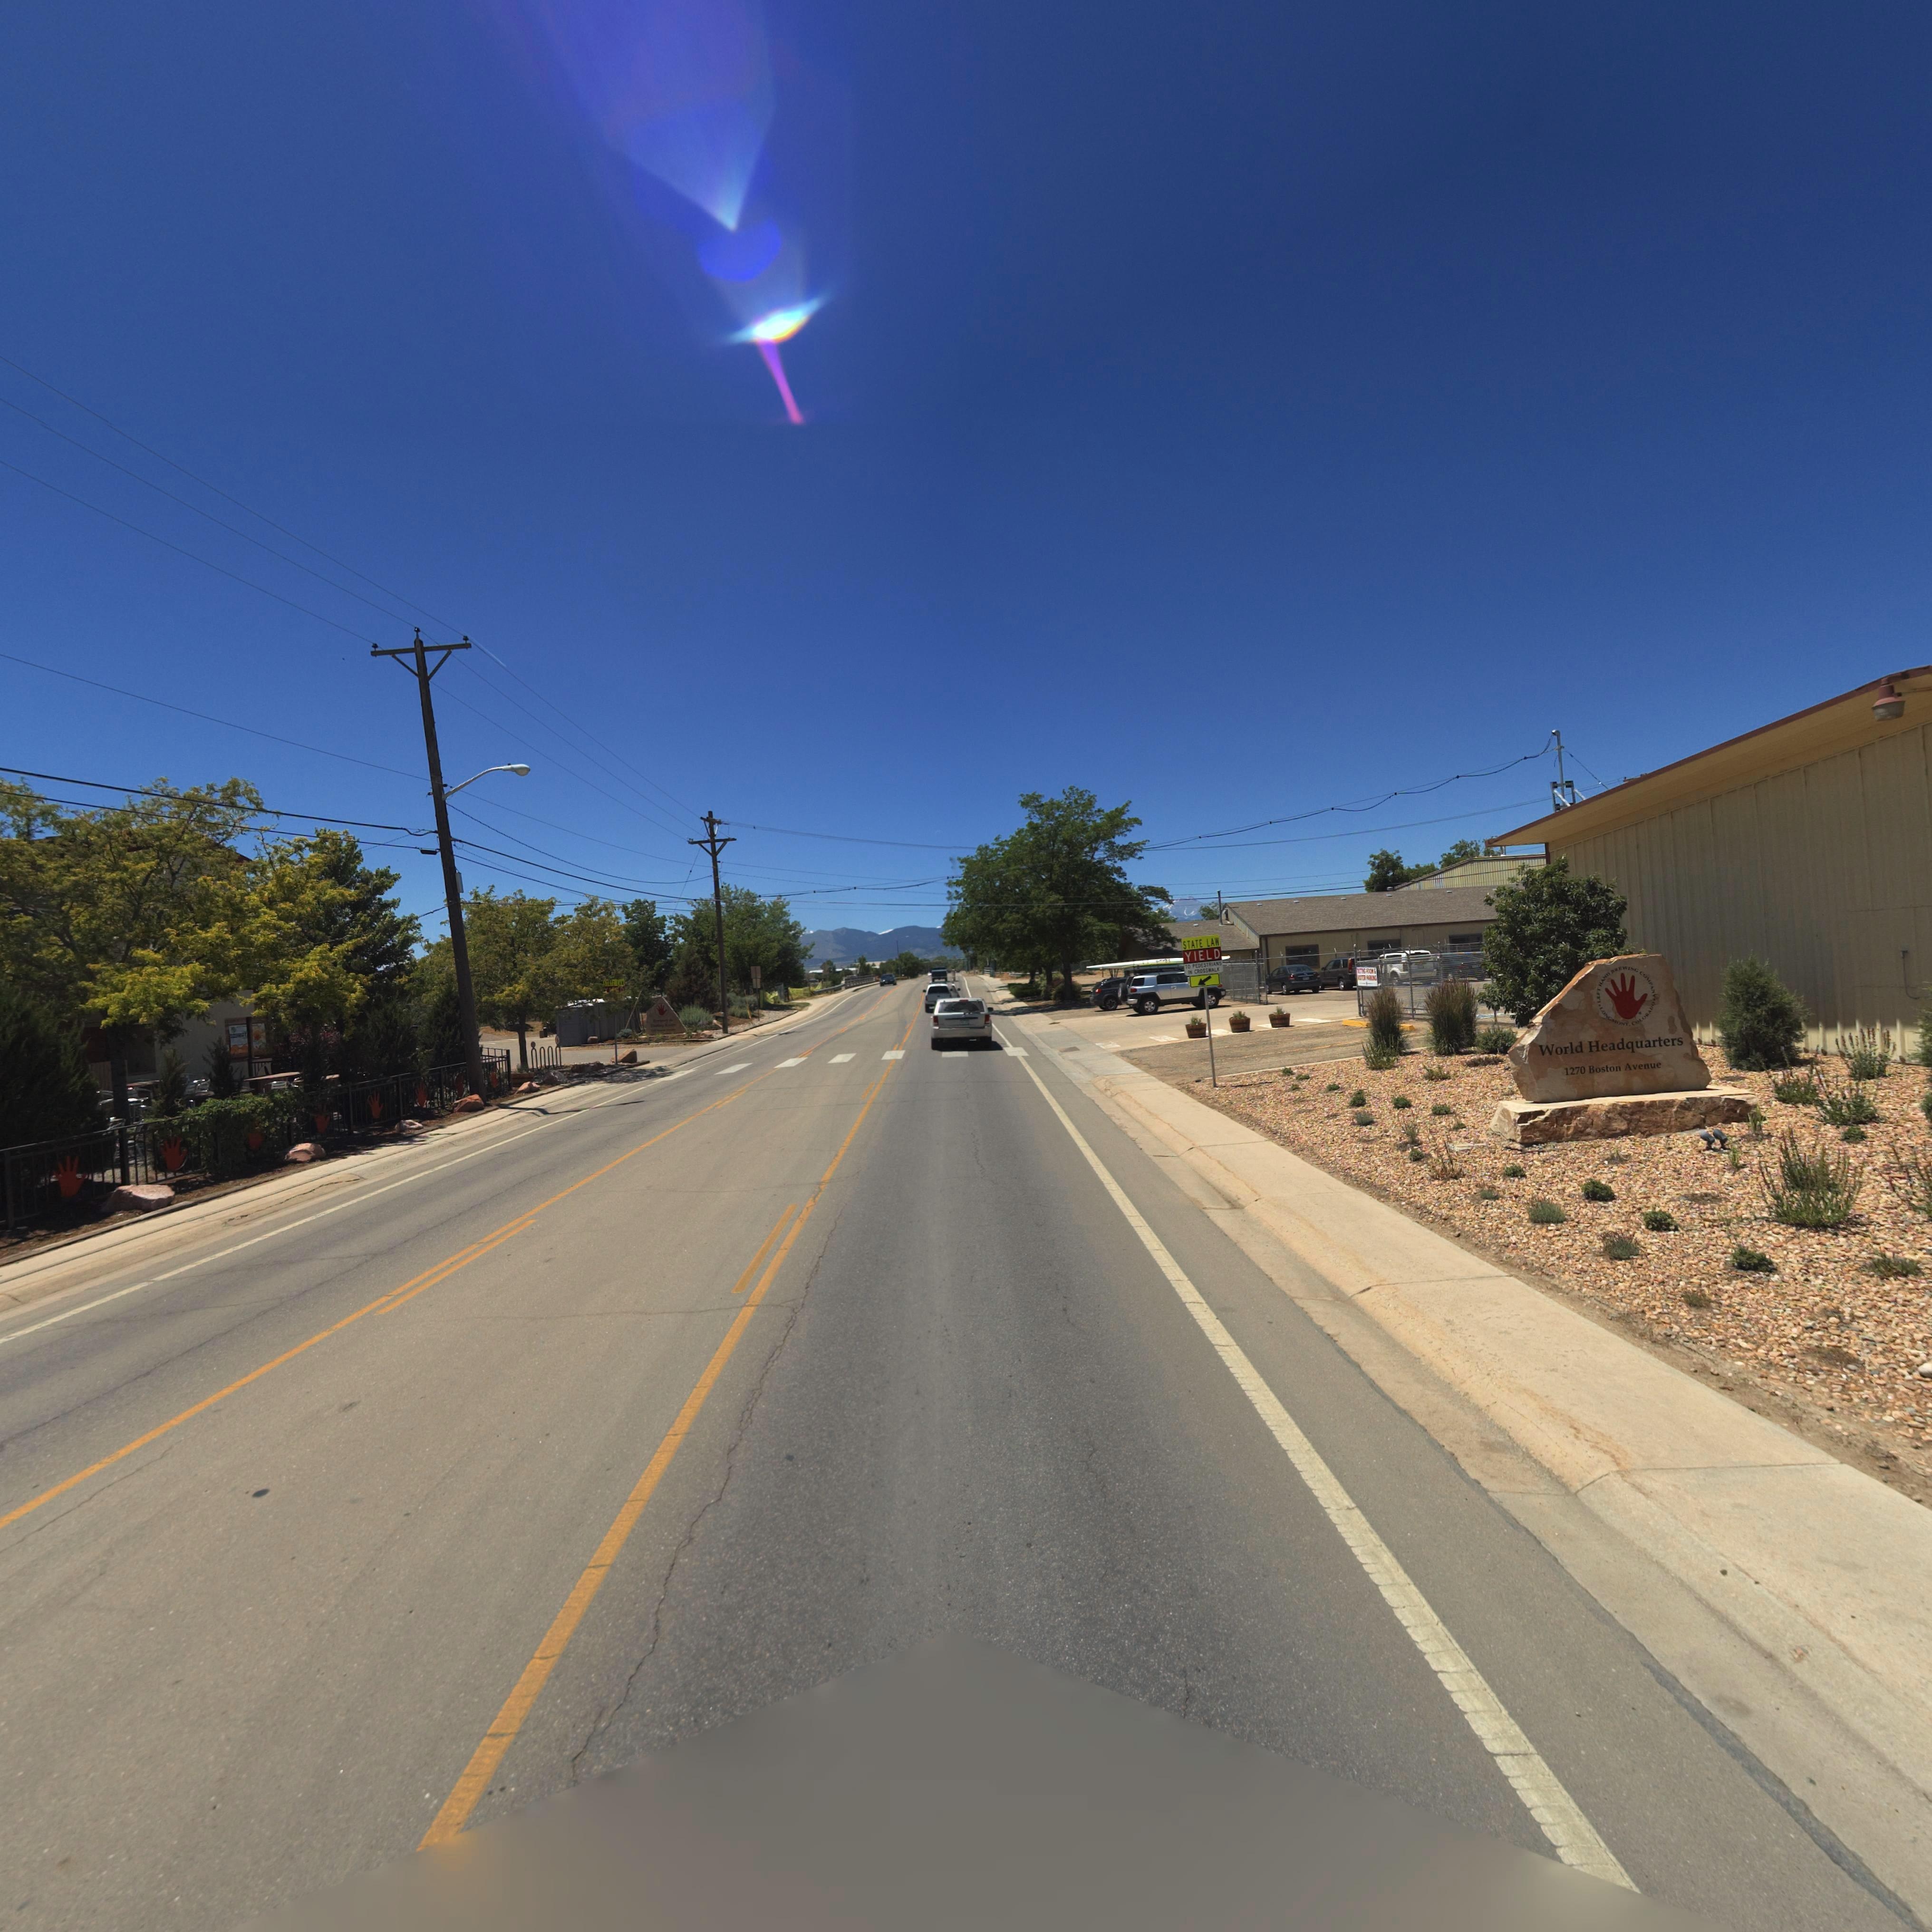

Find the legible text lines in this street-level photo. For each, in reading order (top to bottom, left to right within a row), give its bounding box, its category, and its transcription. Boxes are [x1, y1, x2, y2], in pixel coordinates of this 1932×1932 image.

[1596, 966, 1656, 1003] BusinessName: LEFT HAND BREWING COMPANY
[1538, 1035, 1684, 1056] BusinessName: World Headquarters
[1565, 1066, 1585, 1075] StreetNumber: 1270
[1588, 1062, 1661, 1073] StreetName: Boston Avenue